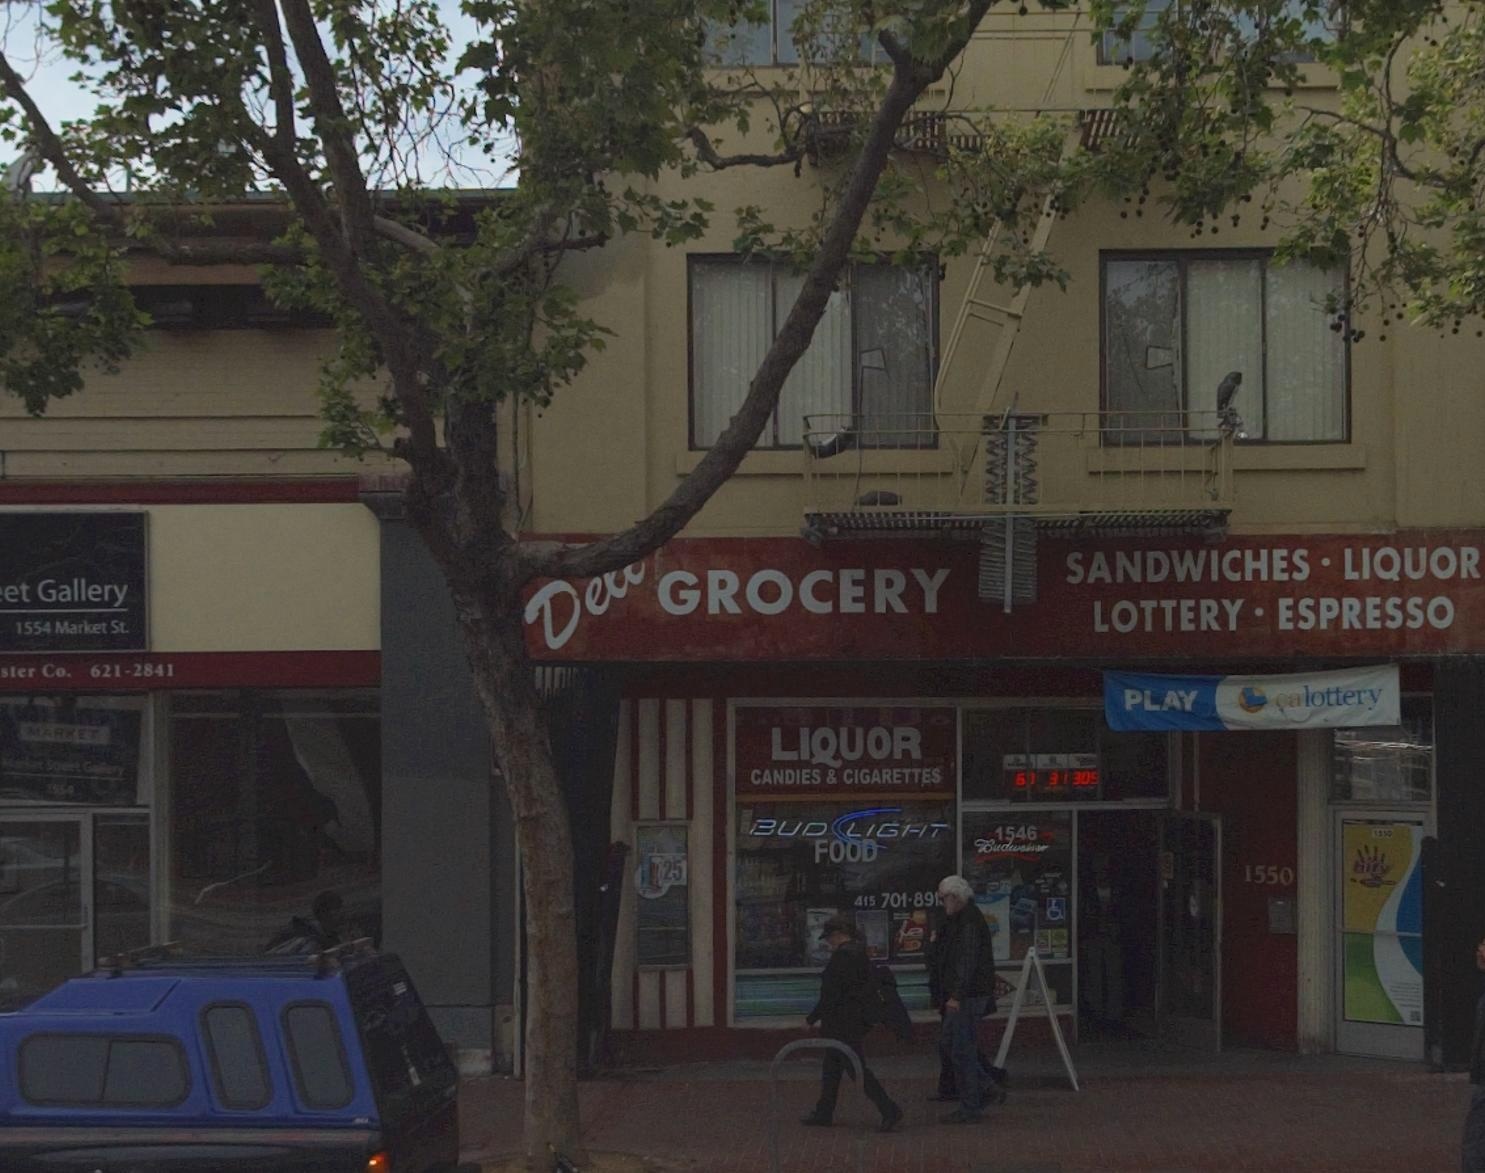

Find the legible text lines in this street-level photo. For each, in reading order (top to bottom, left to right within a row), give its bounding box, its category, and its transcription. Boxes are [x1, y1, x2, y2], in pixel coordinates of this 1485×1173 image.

[1062, 544, 1483, 588] None: SANDWICHES * LIQUOR
[1, 574, 132, 610] BusinessName: et Gallery
[651, 565, 958, 619] BusinessName: GROCERY
[528, 571, 614, 656] BusinessName: De
[1090, 593, 1458, 635] None: LOTTERY * ESPRESSO
[11, 617, 55, 639] StreetNumber: 1554
[54, 616, 132, 637] StreetName: Market St.
[0, 660, 75, 681] BusinessName: ster Co.
[87, 660, 176, 681] None: 621-2841
[1121, 685, 1202, 714] None: PLAY
[1240, 684, 1270, 710] None: L
[1274, 681, 1387, 713] None: ca lottery
[23, 722, 102, 743] None: MARKET
[769, 723, 926, 772] None: LIQUOR
[56, 781, 69, 798] StreetNumber: 5
[44, 756, 101, 776] BusinessName: Street Ga
[747, 765, 944, 788] None: CANDIES & CIGARETTES
[1012, 768, 1028, 789] None: 6
[1045, 768, 1061, 789] None: 3
[1070, 767, 1101, 788] None: 305
[744, 816, 951, 841] None: BUD LIGHT
[993, 823, 1040, 843] StreetNumber: 1546
[1371, 827, 1396, 840] StreetNumber: 15*0
[812, 836, 881, 865] None: FOOD
[975, 835, 1016, 856] None: Bud
[661, 857, 686, 883] None: 25
[1242, 859, 1297, 889] StreetNumber: 1550
[849, 889, 940, 910] None: 415 701*891